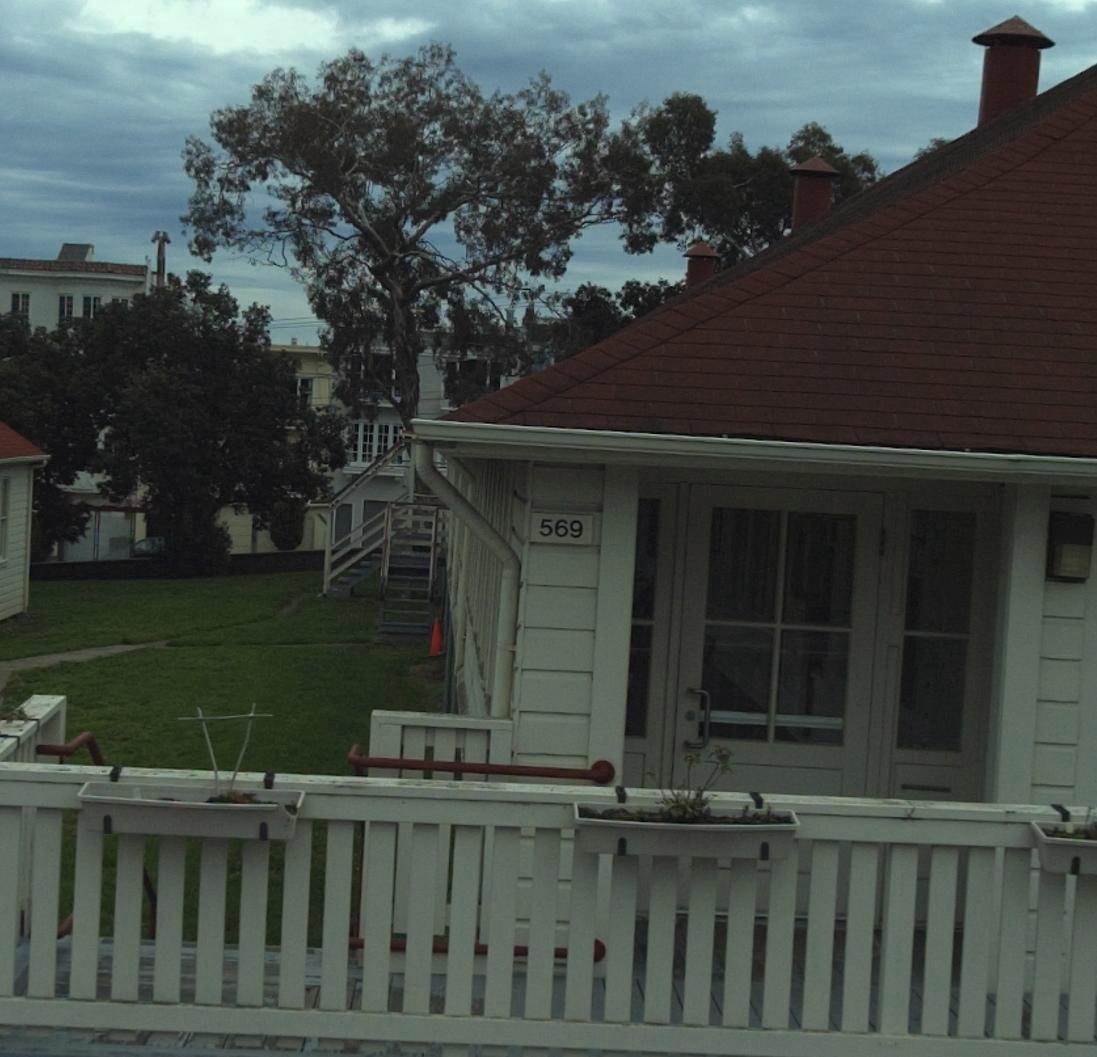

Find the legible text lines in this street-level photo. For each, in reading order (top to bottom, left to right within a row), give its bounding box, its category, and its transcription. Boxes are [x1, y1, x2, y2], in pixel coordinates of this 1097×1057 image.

[539, 518, 584, 539] StreetNumber: 569